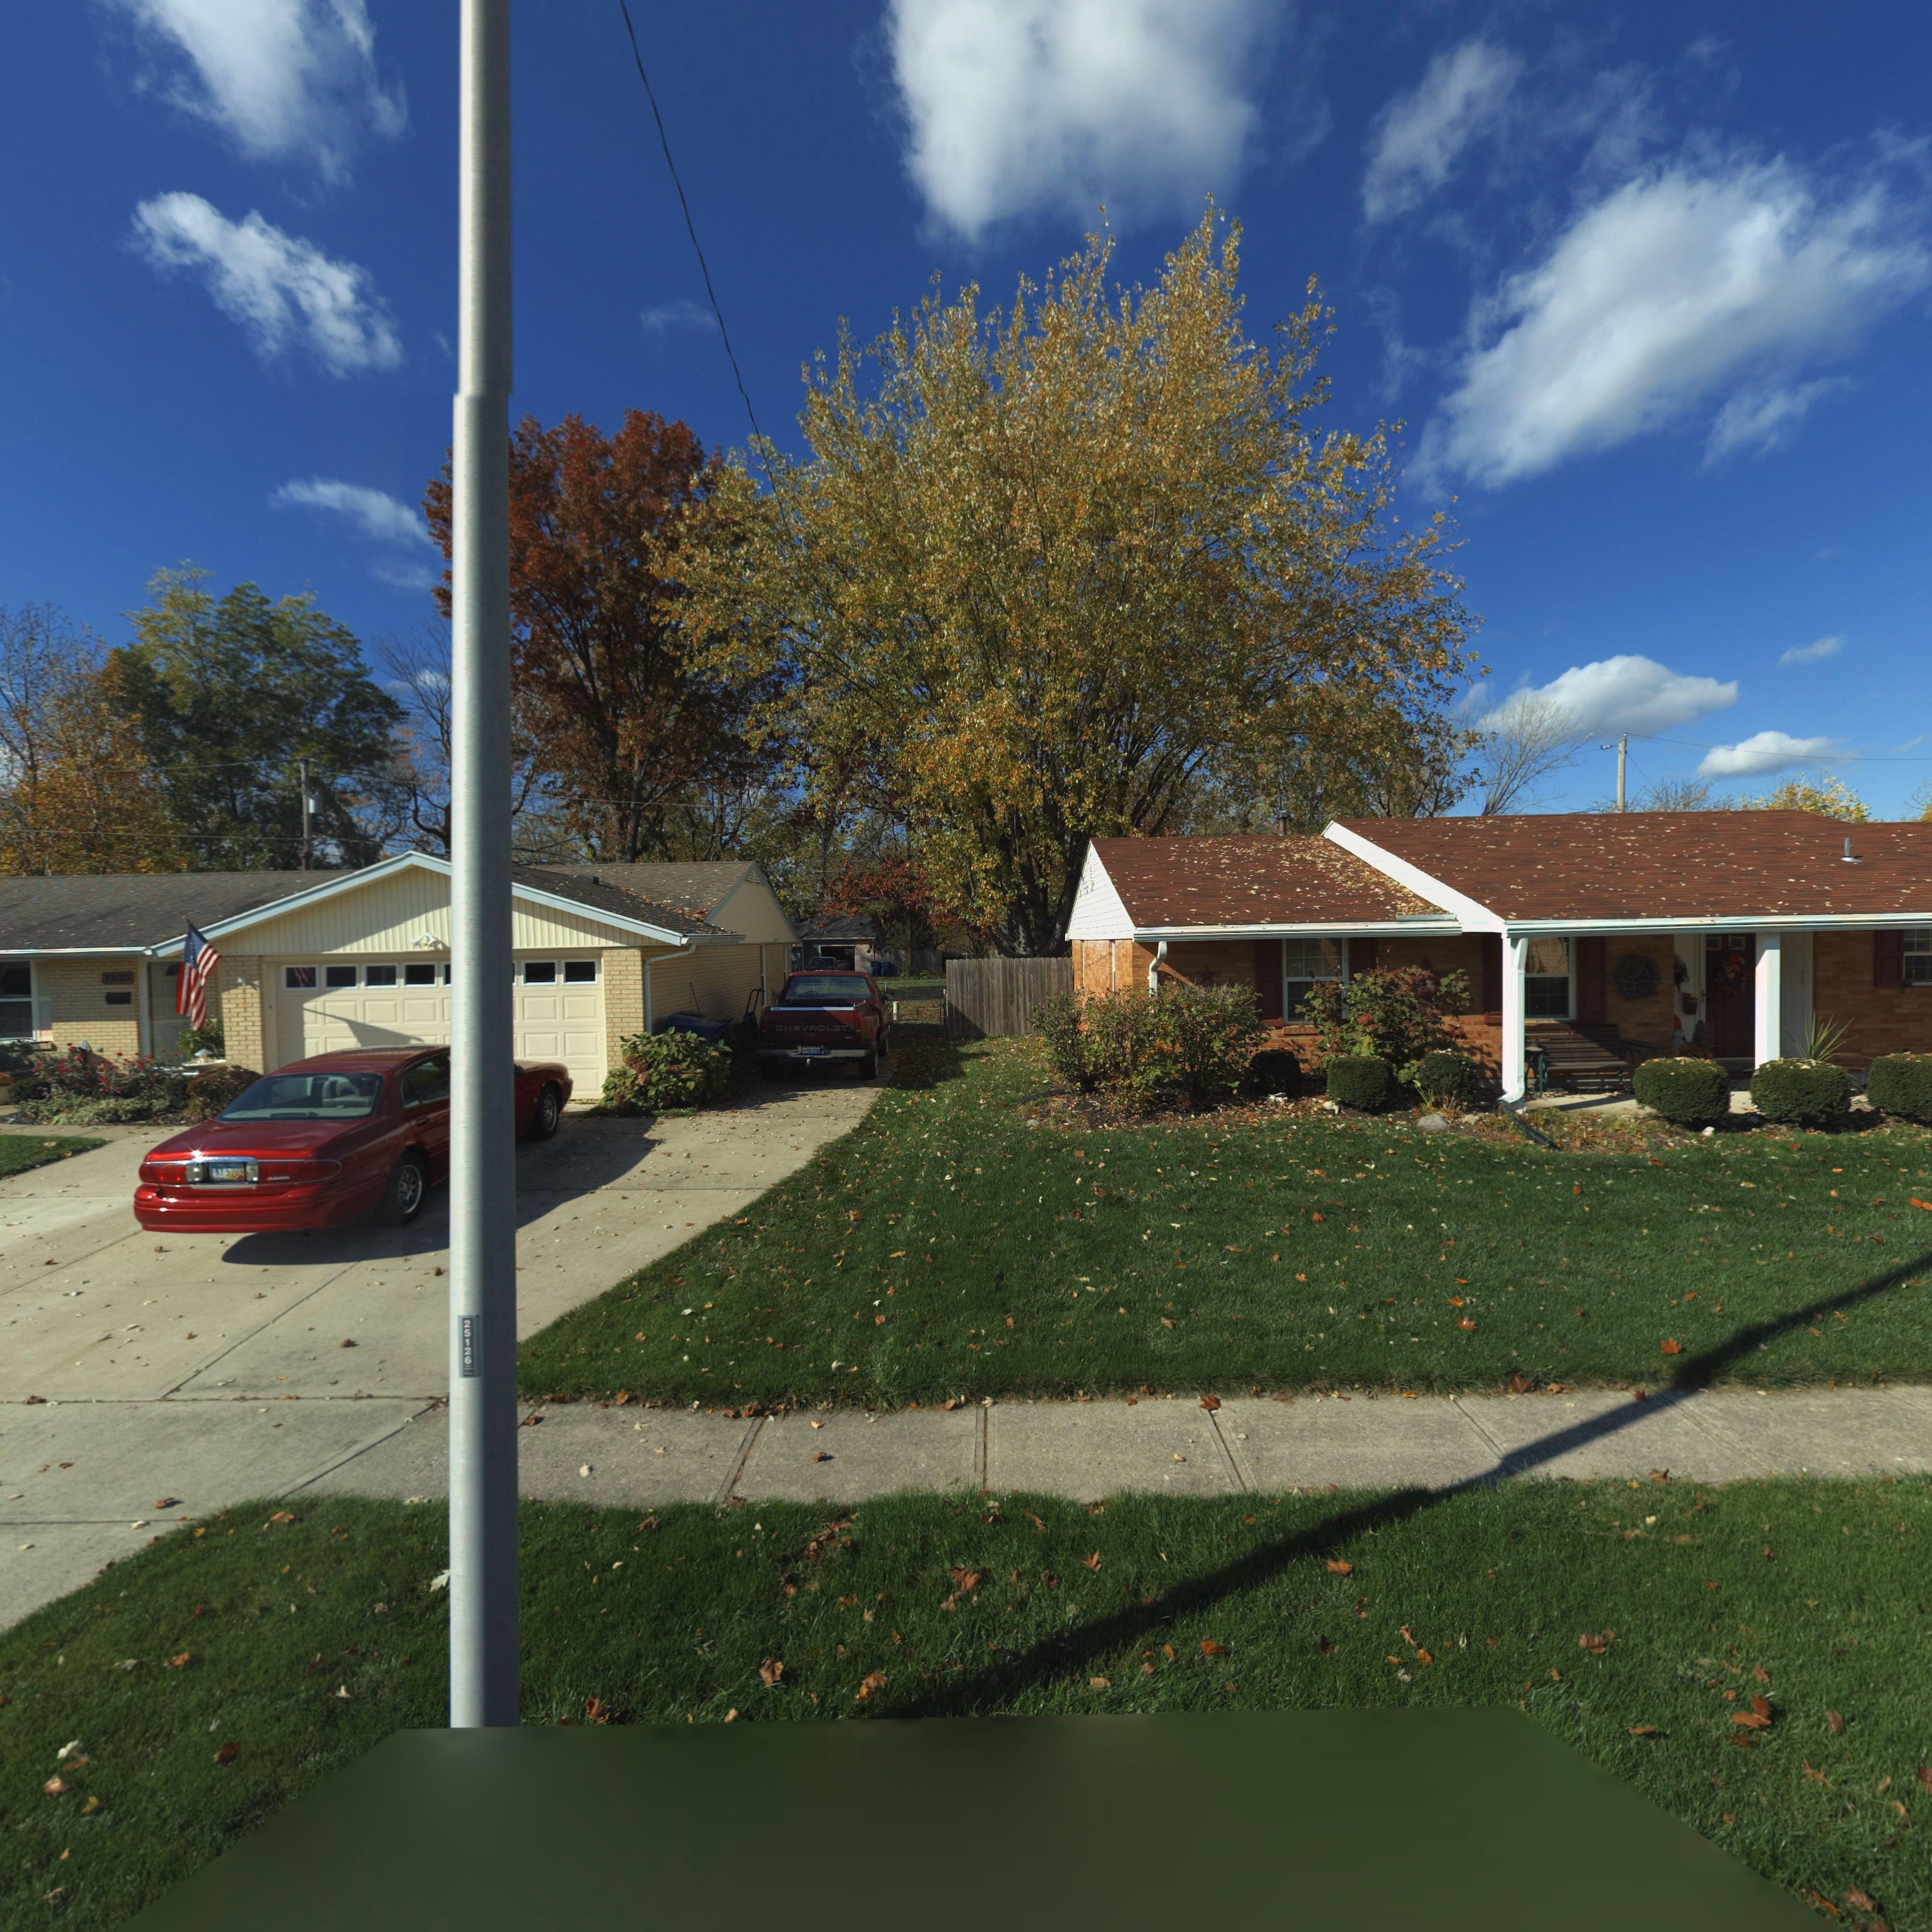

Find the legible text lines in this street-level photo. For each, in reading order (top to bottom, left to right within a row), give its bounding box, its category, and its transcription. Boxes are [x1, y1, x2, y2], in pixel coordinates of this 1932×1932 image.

[103, 972, 132, 984] StreetNumber: 7530